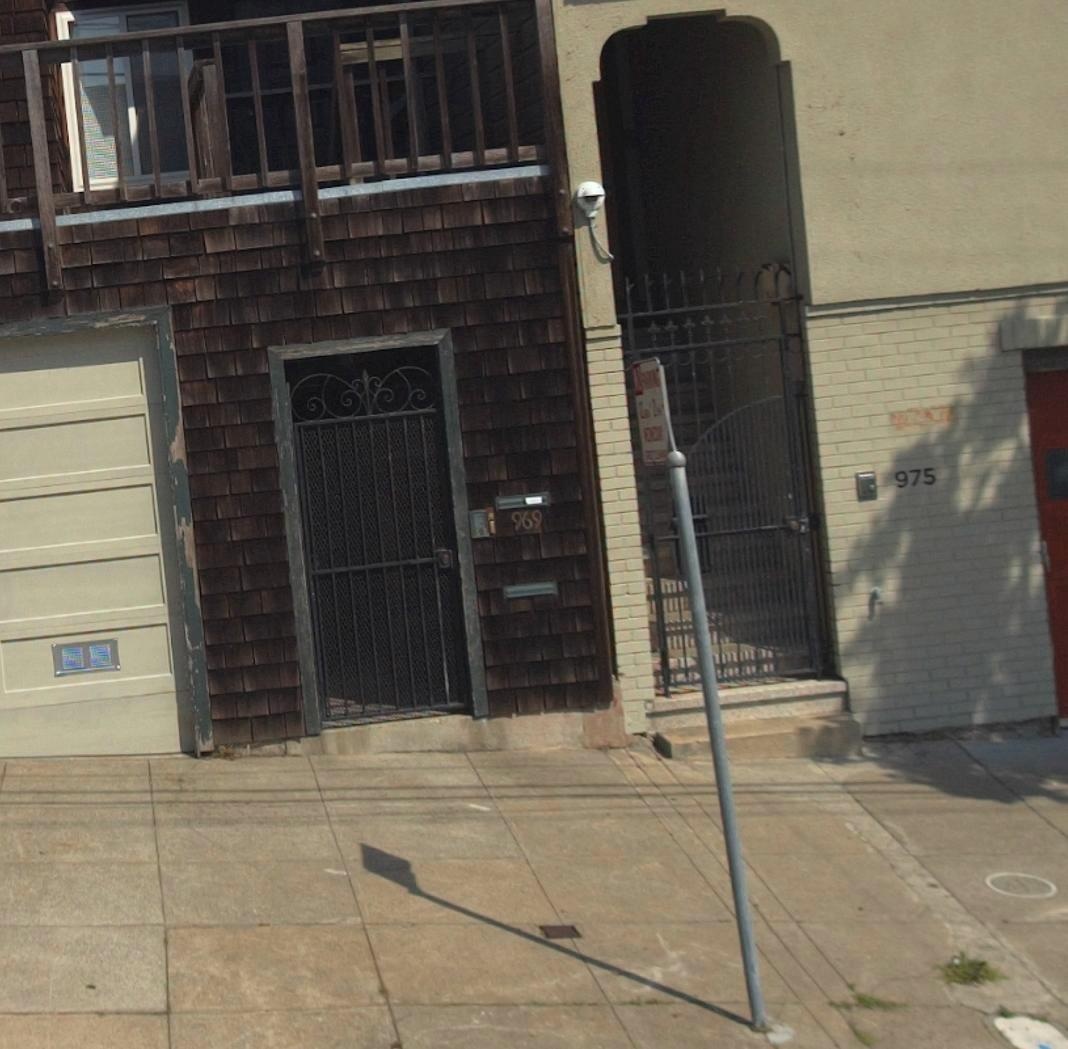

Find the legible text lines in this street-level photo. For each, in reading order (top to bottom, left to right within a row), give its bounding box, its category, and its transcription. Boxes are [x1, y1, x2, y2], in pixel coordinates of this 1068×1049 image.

[891, 464, 939, 492] StreetNumber: 975
[509, 507, 545, 533] StreetNumber: 969